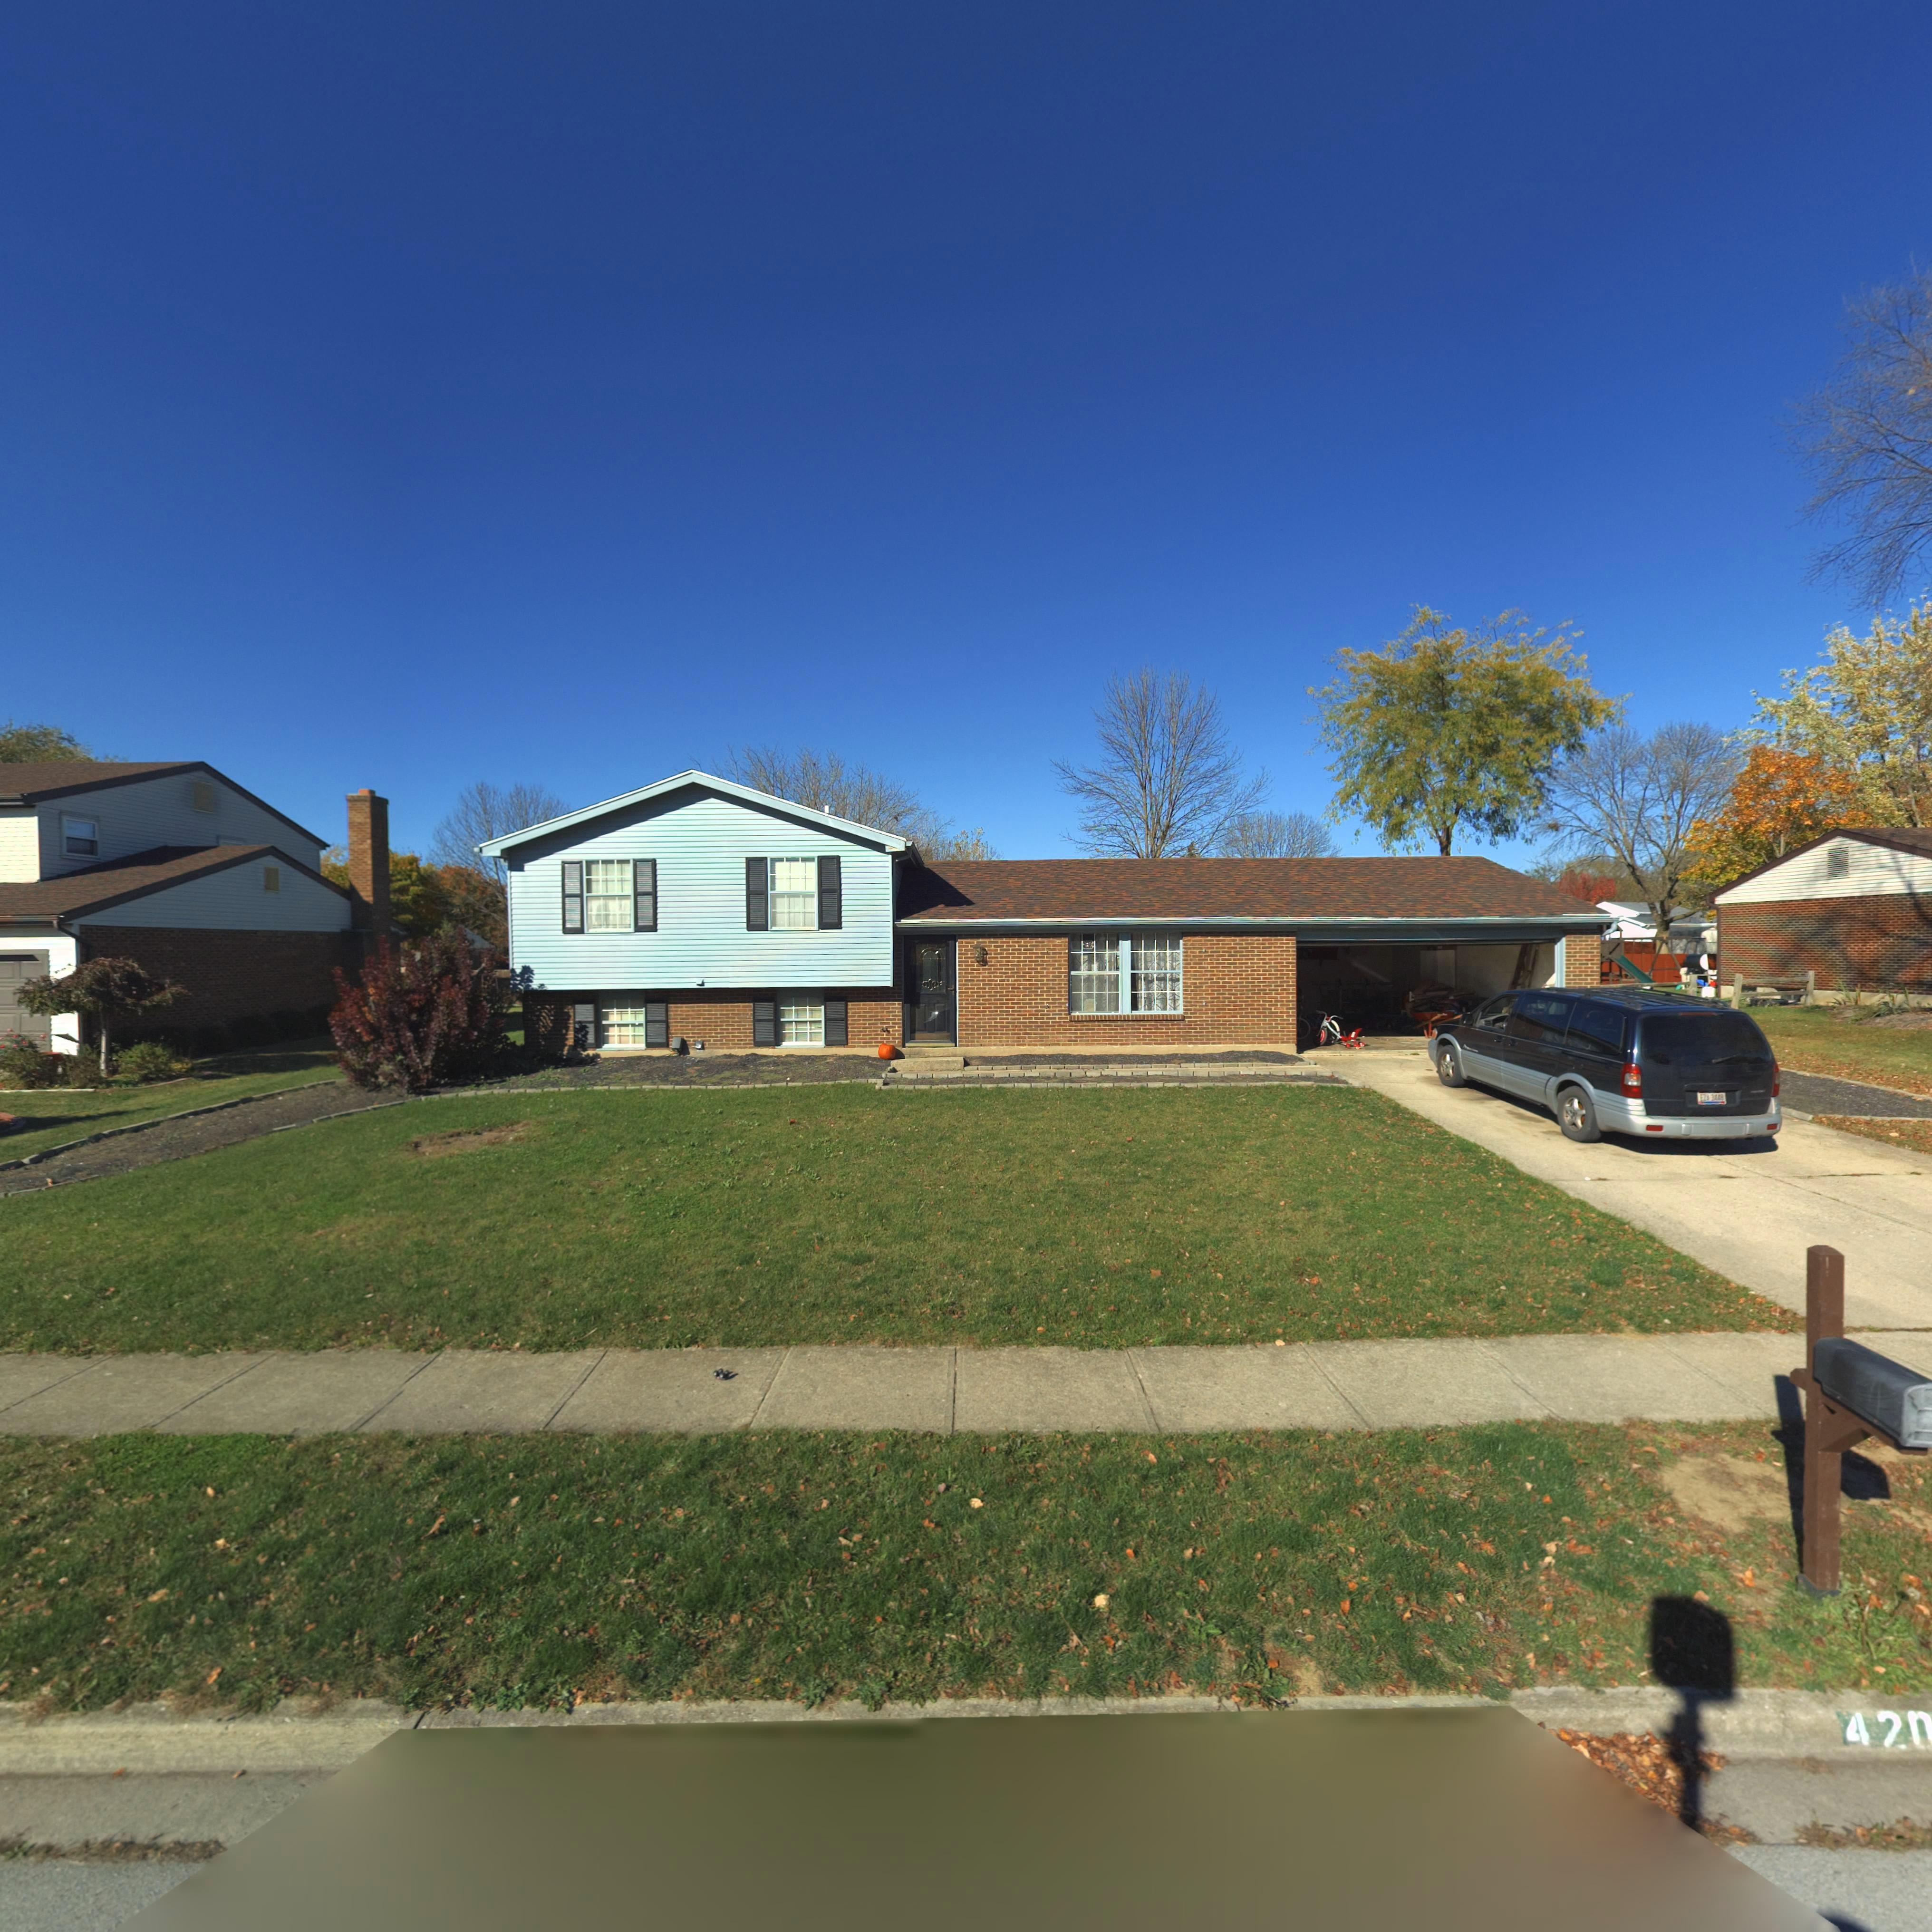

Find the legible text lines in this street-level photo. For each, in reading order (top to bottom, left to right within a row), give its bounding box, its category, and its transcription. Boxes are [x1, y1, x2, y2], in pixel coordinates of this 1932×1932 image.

[1845, 1710, 1932, 1752] StreetNumber: 42